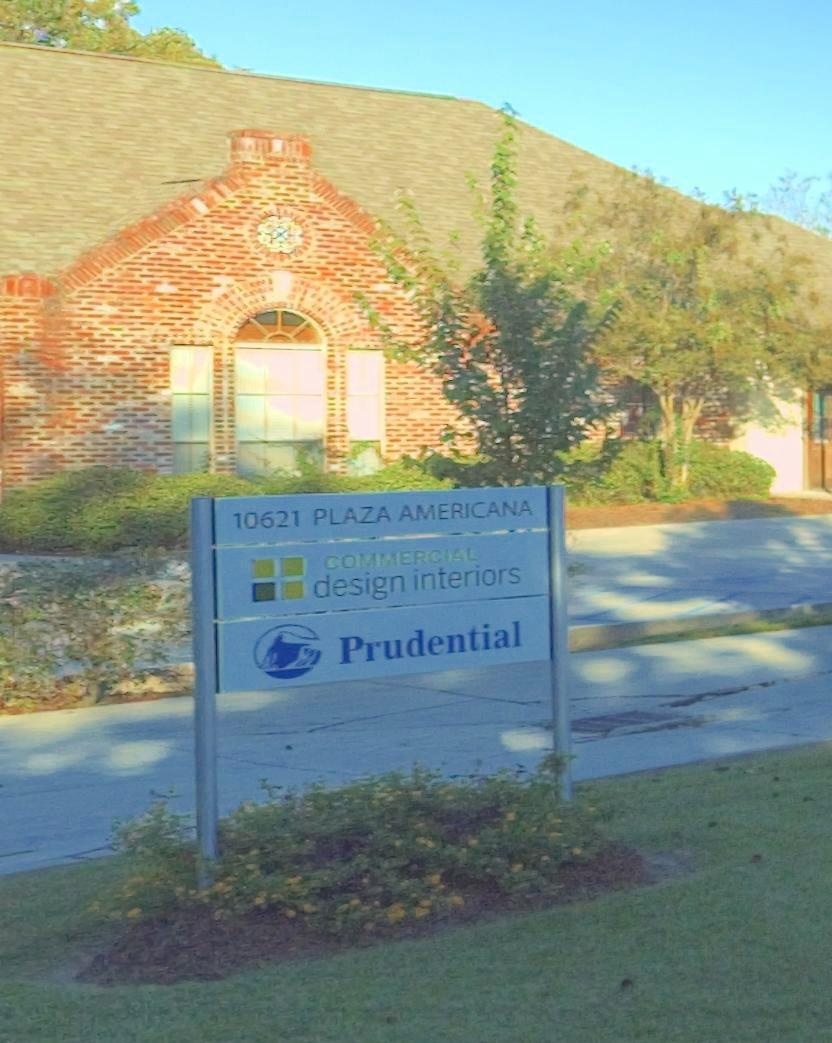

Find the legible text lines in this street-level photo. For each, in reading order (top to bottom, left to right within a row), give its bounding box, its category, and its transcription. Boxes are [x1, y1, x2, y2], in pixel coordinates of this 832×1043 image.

[230, 507, 302, 533] StreetNumber: 10621
[311, 496, 539, 530] BusinessName: PLAZA AMERICANA
[319, 543, 483, 574] BusinessName: COMMERCIAL
[311, 563, 525, 604] BusinessName: design interiors
[336, 616, 526, 668] BusinessName: Prudential